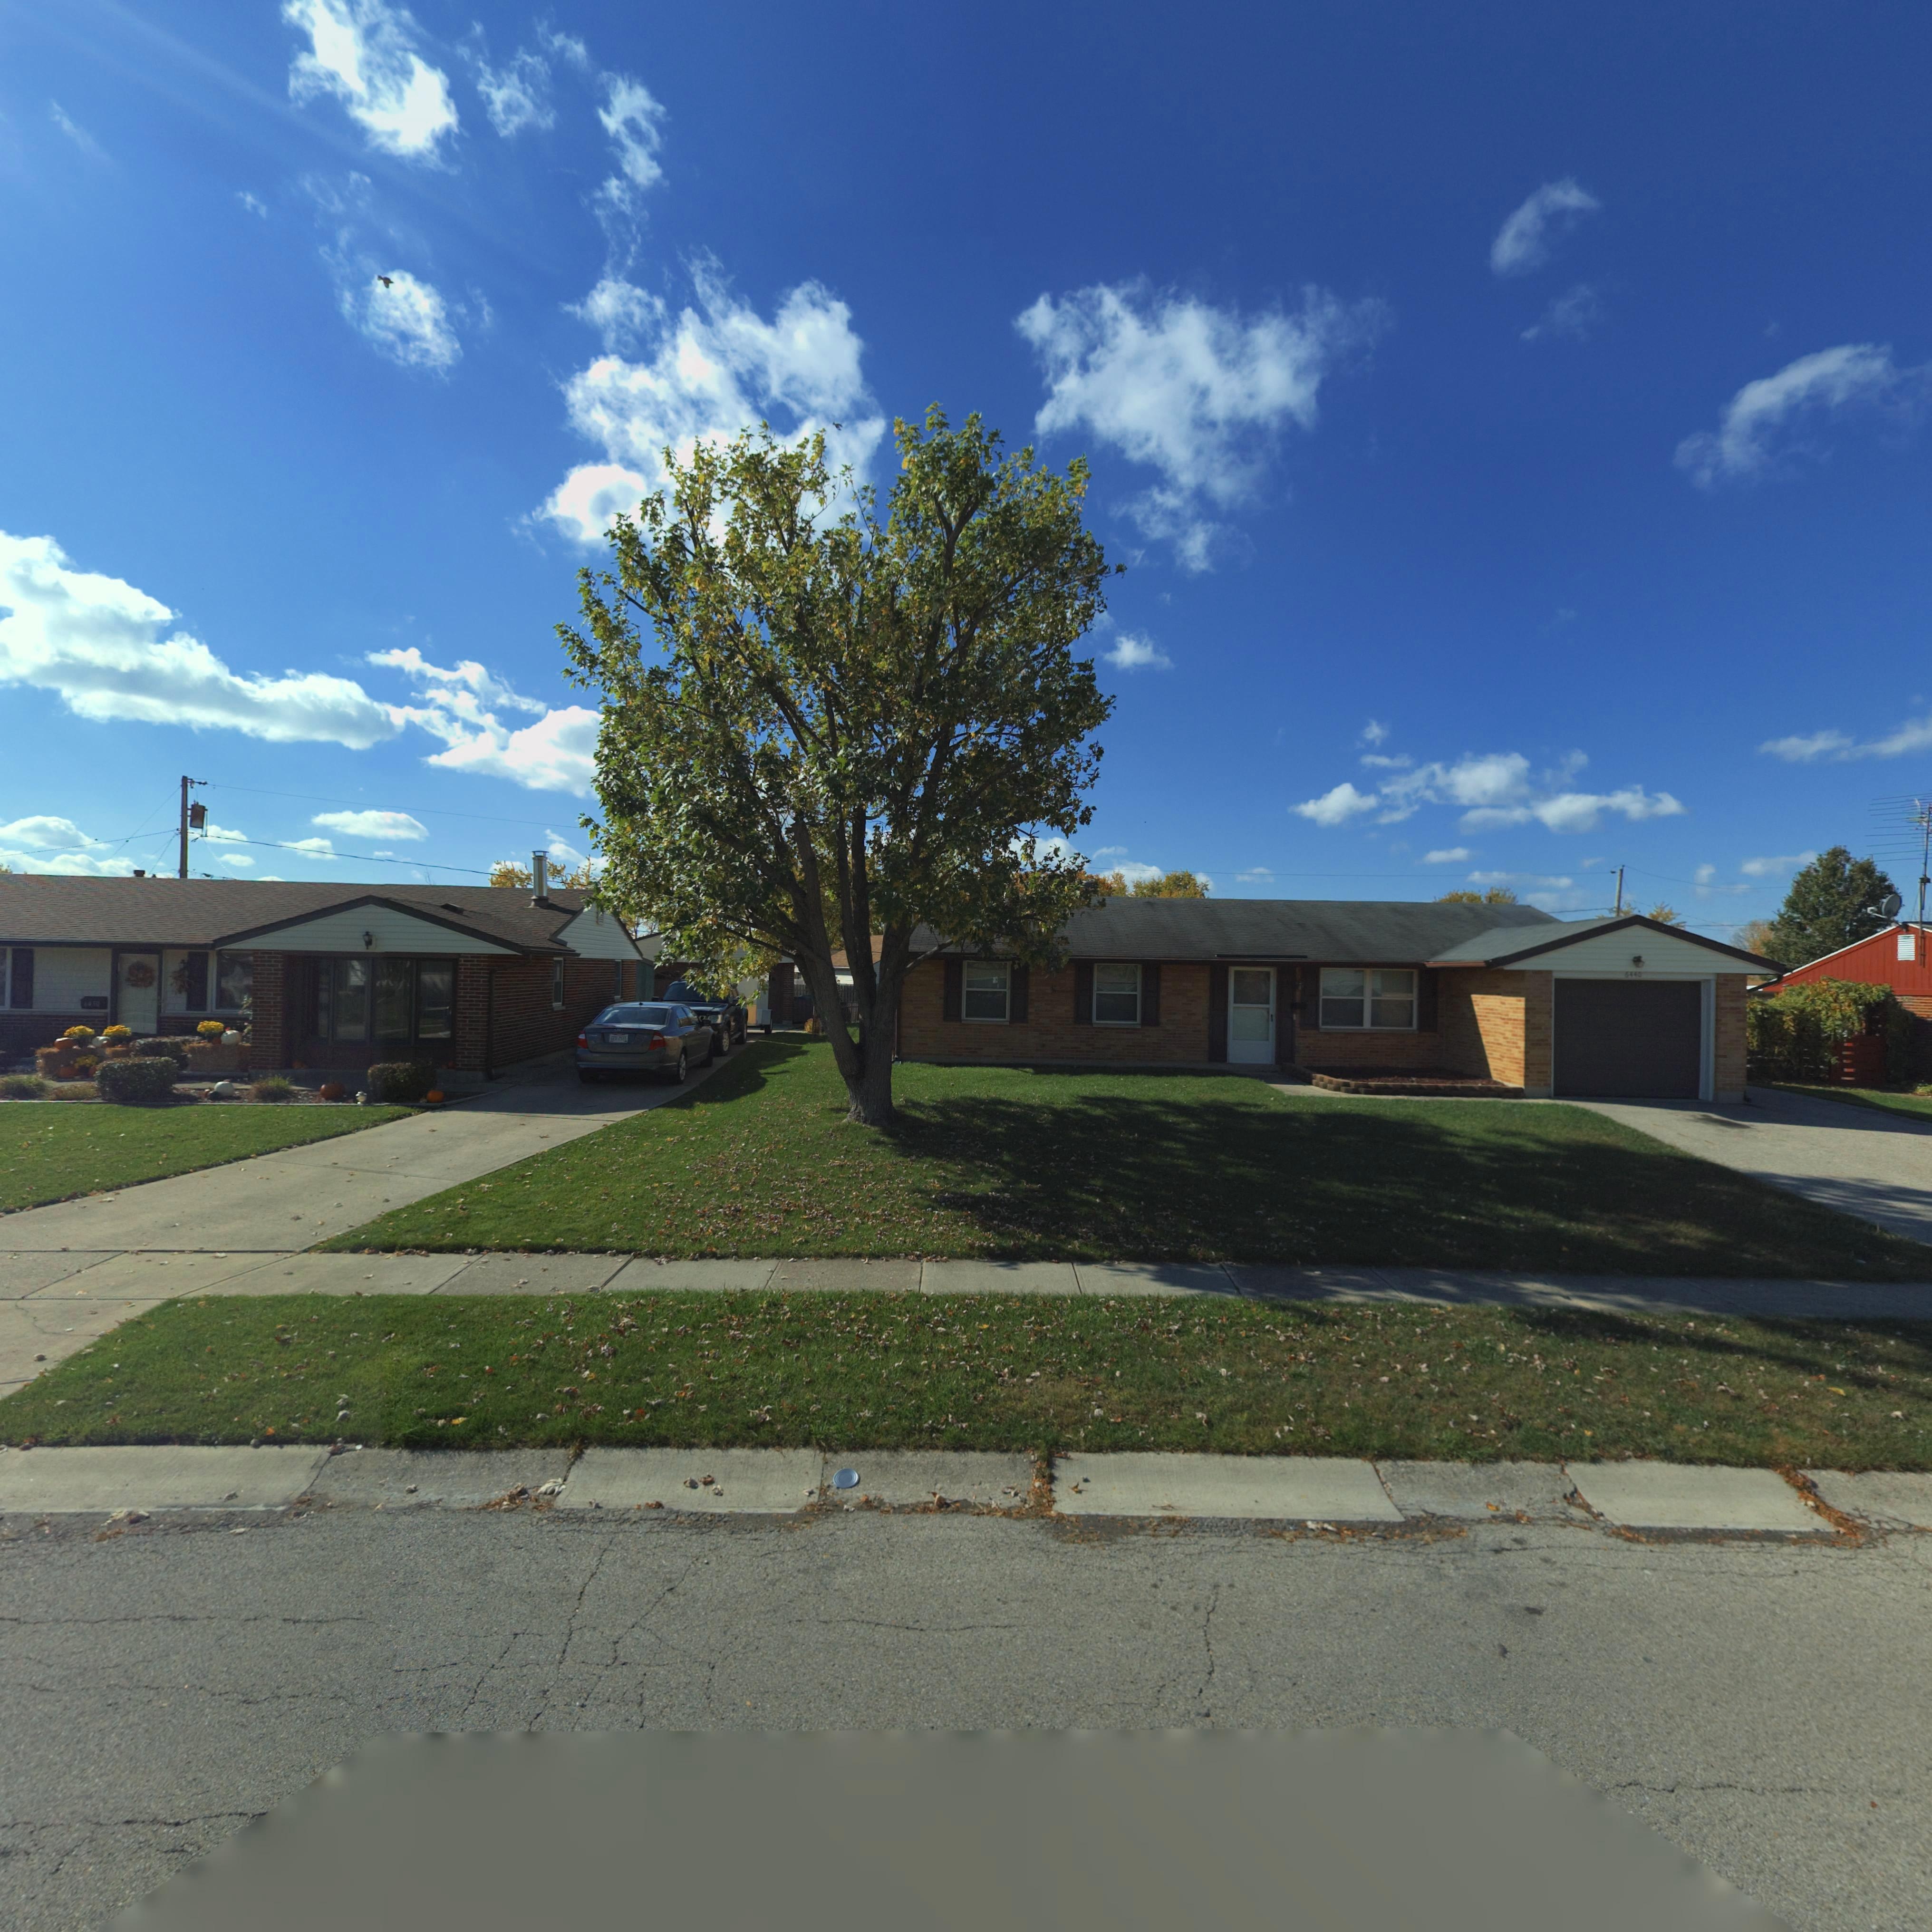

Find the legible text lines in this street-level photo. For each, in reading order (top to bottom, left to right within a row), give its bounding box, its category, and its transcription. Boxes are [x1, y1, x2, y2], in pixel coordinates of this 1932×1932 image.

[1624, 971, 1642, 978] StreetNumber: 6440
[82, 1000, 100, 1008] StreetNumber: *4*0